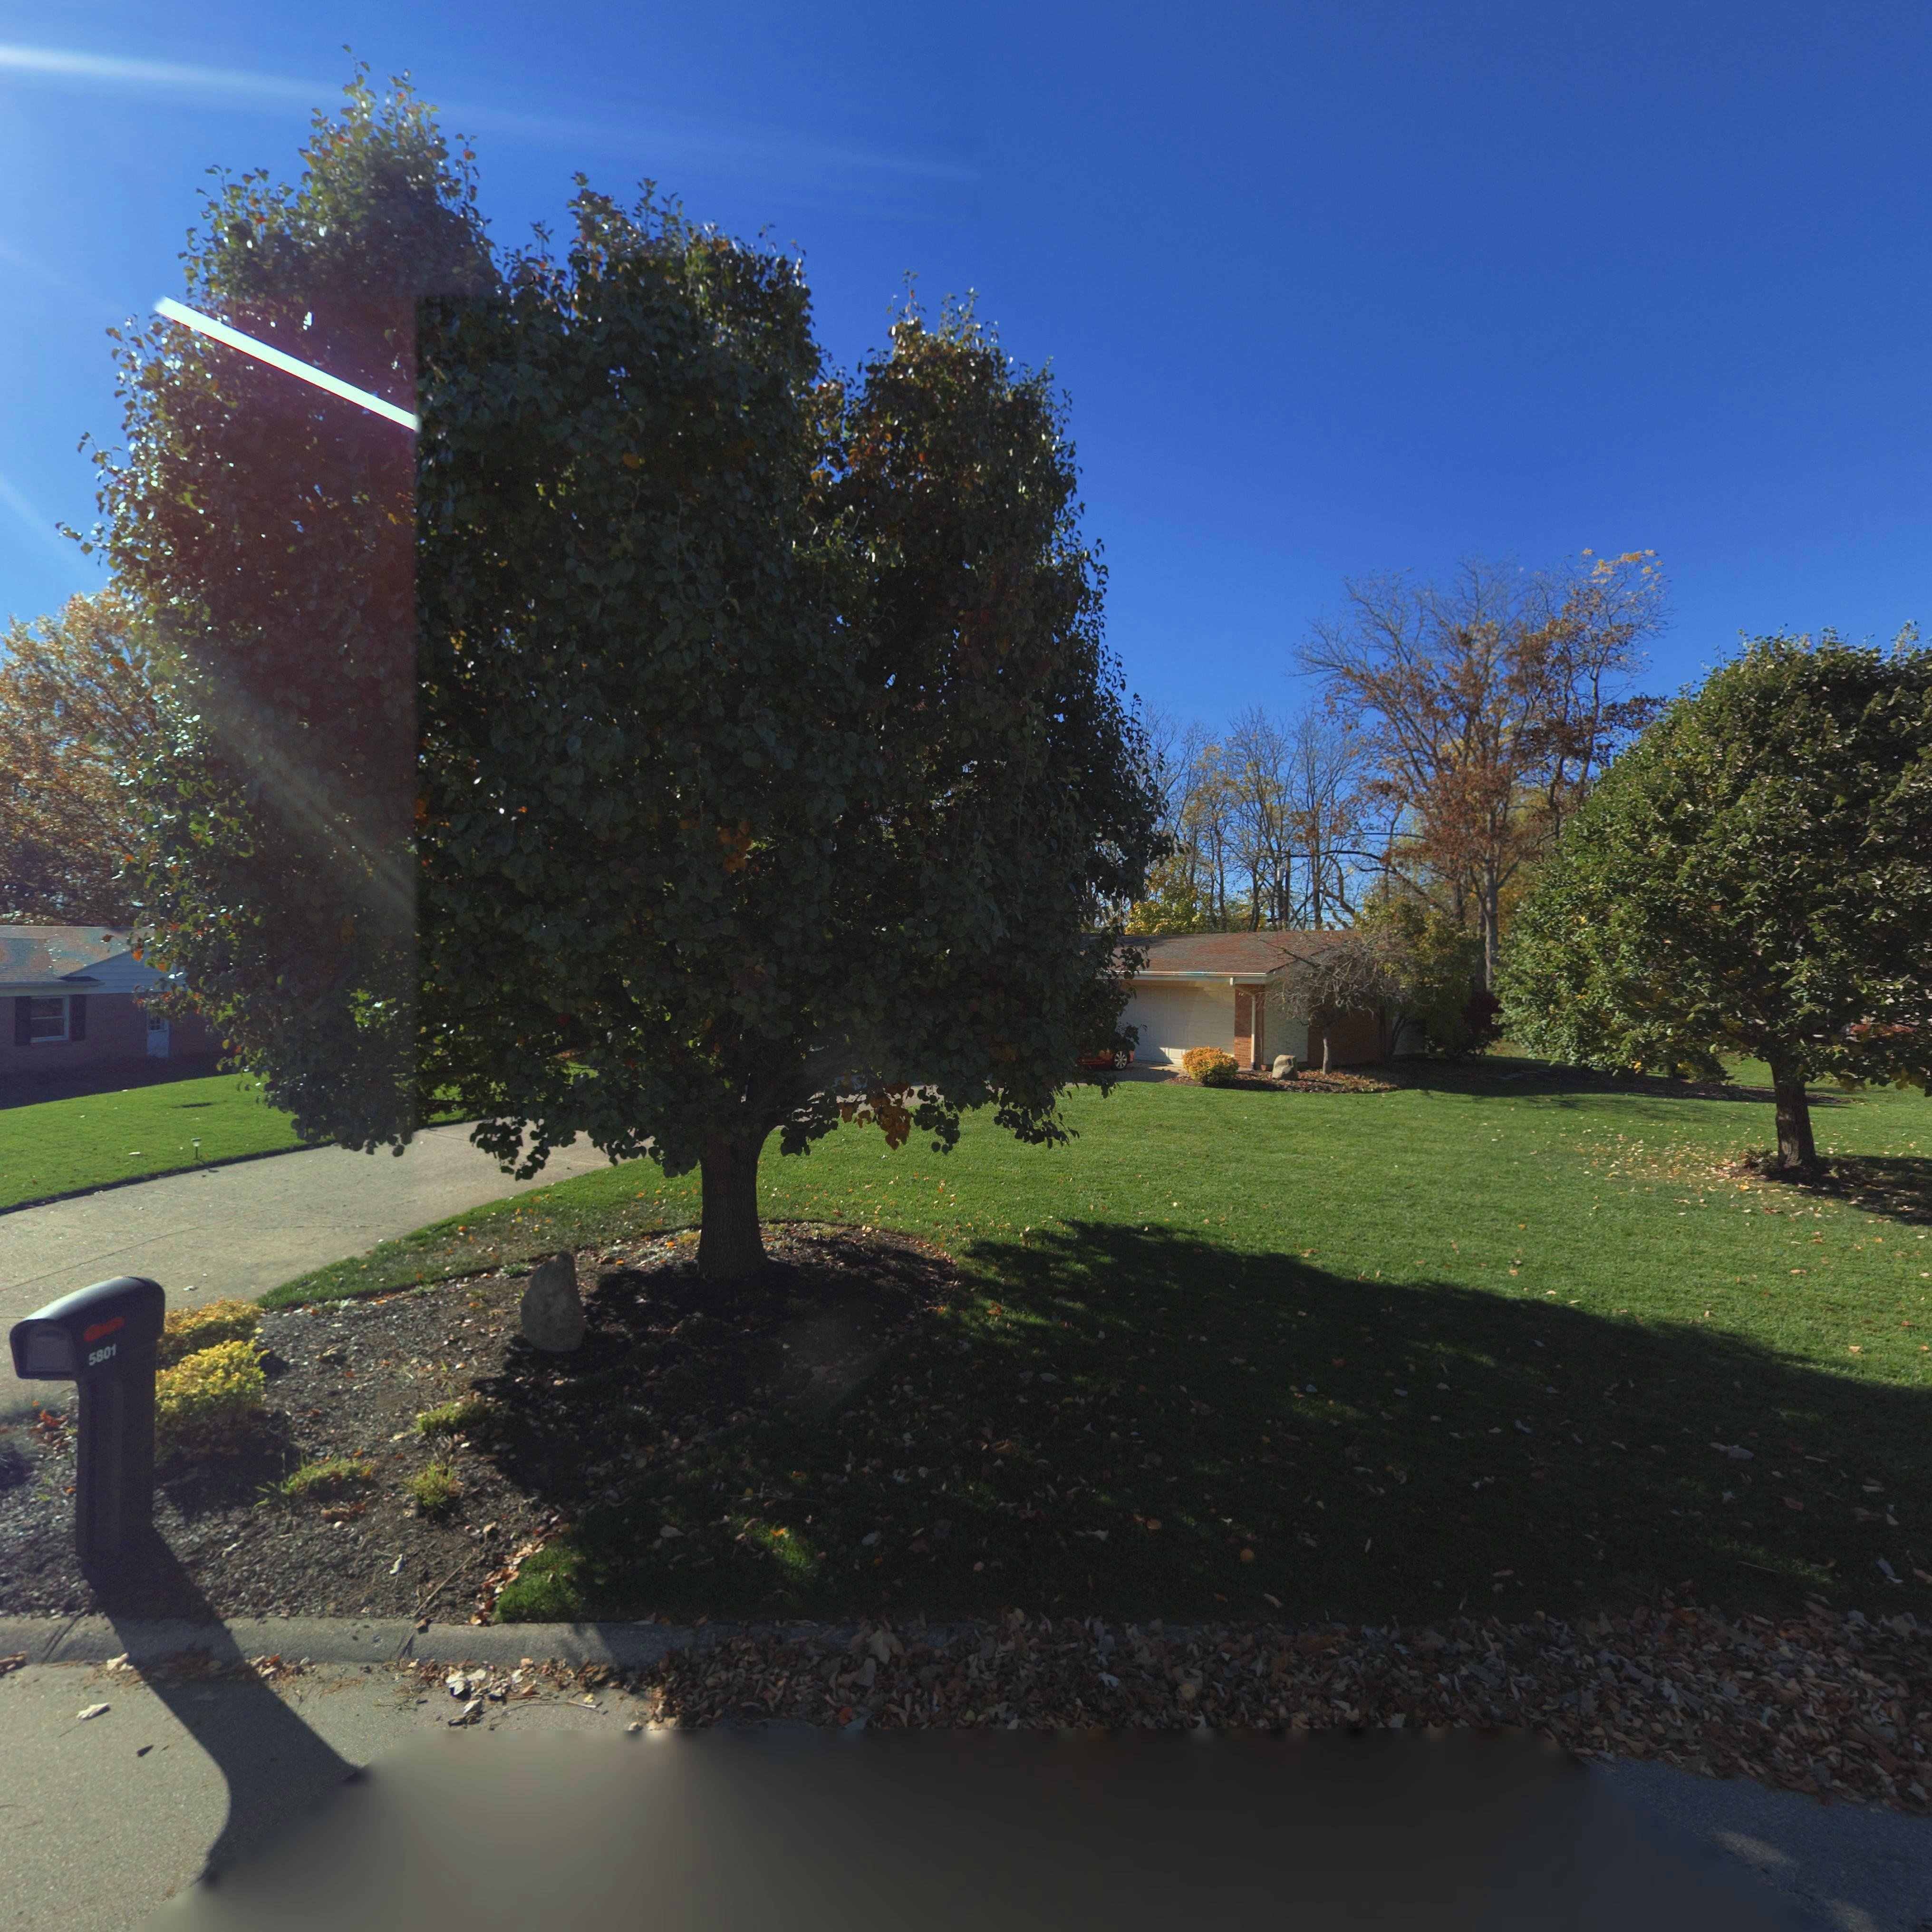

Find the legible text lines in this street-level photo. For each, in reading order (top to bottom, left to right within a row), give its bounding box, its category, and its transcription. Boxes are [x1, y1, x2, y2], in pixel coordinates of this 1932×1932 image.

[88, 1343, 117, 1368] StreetNumber: 5801